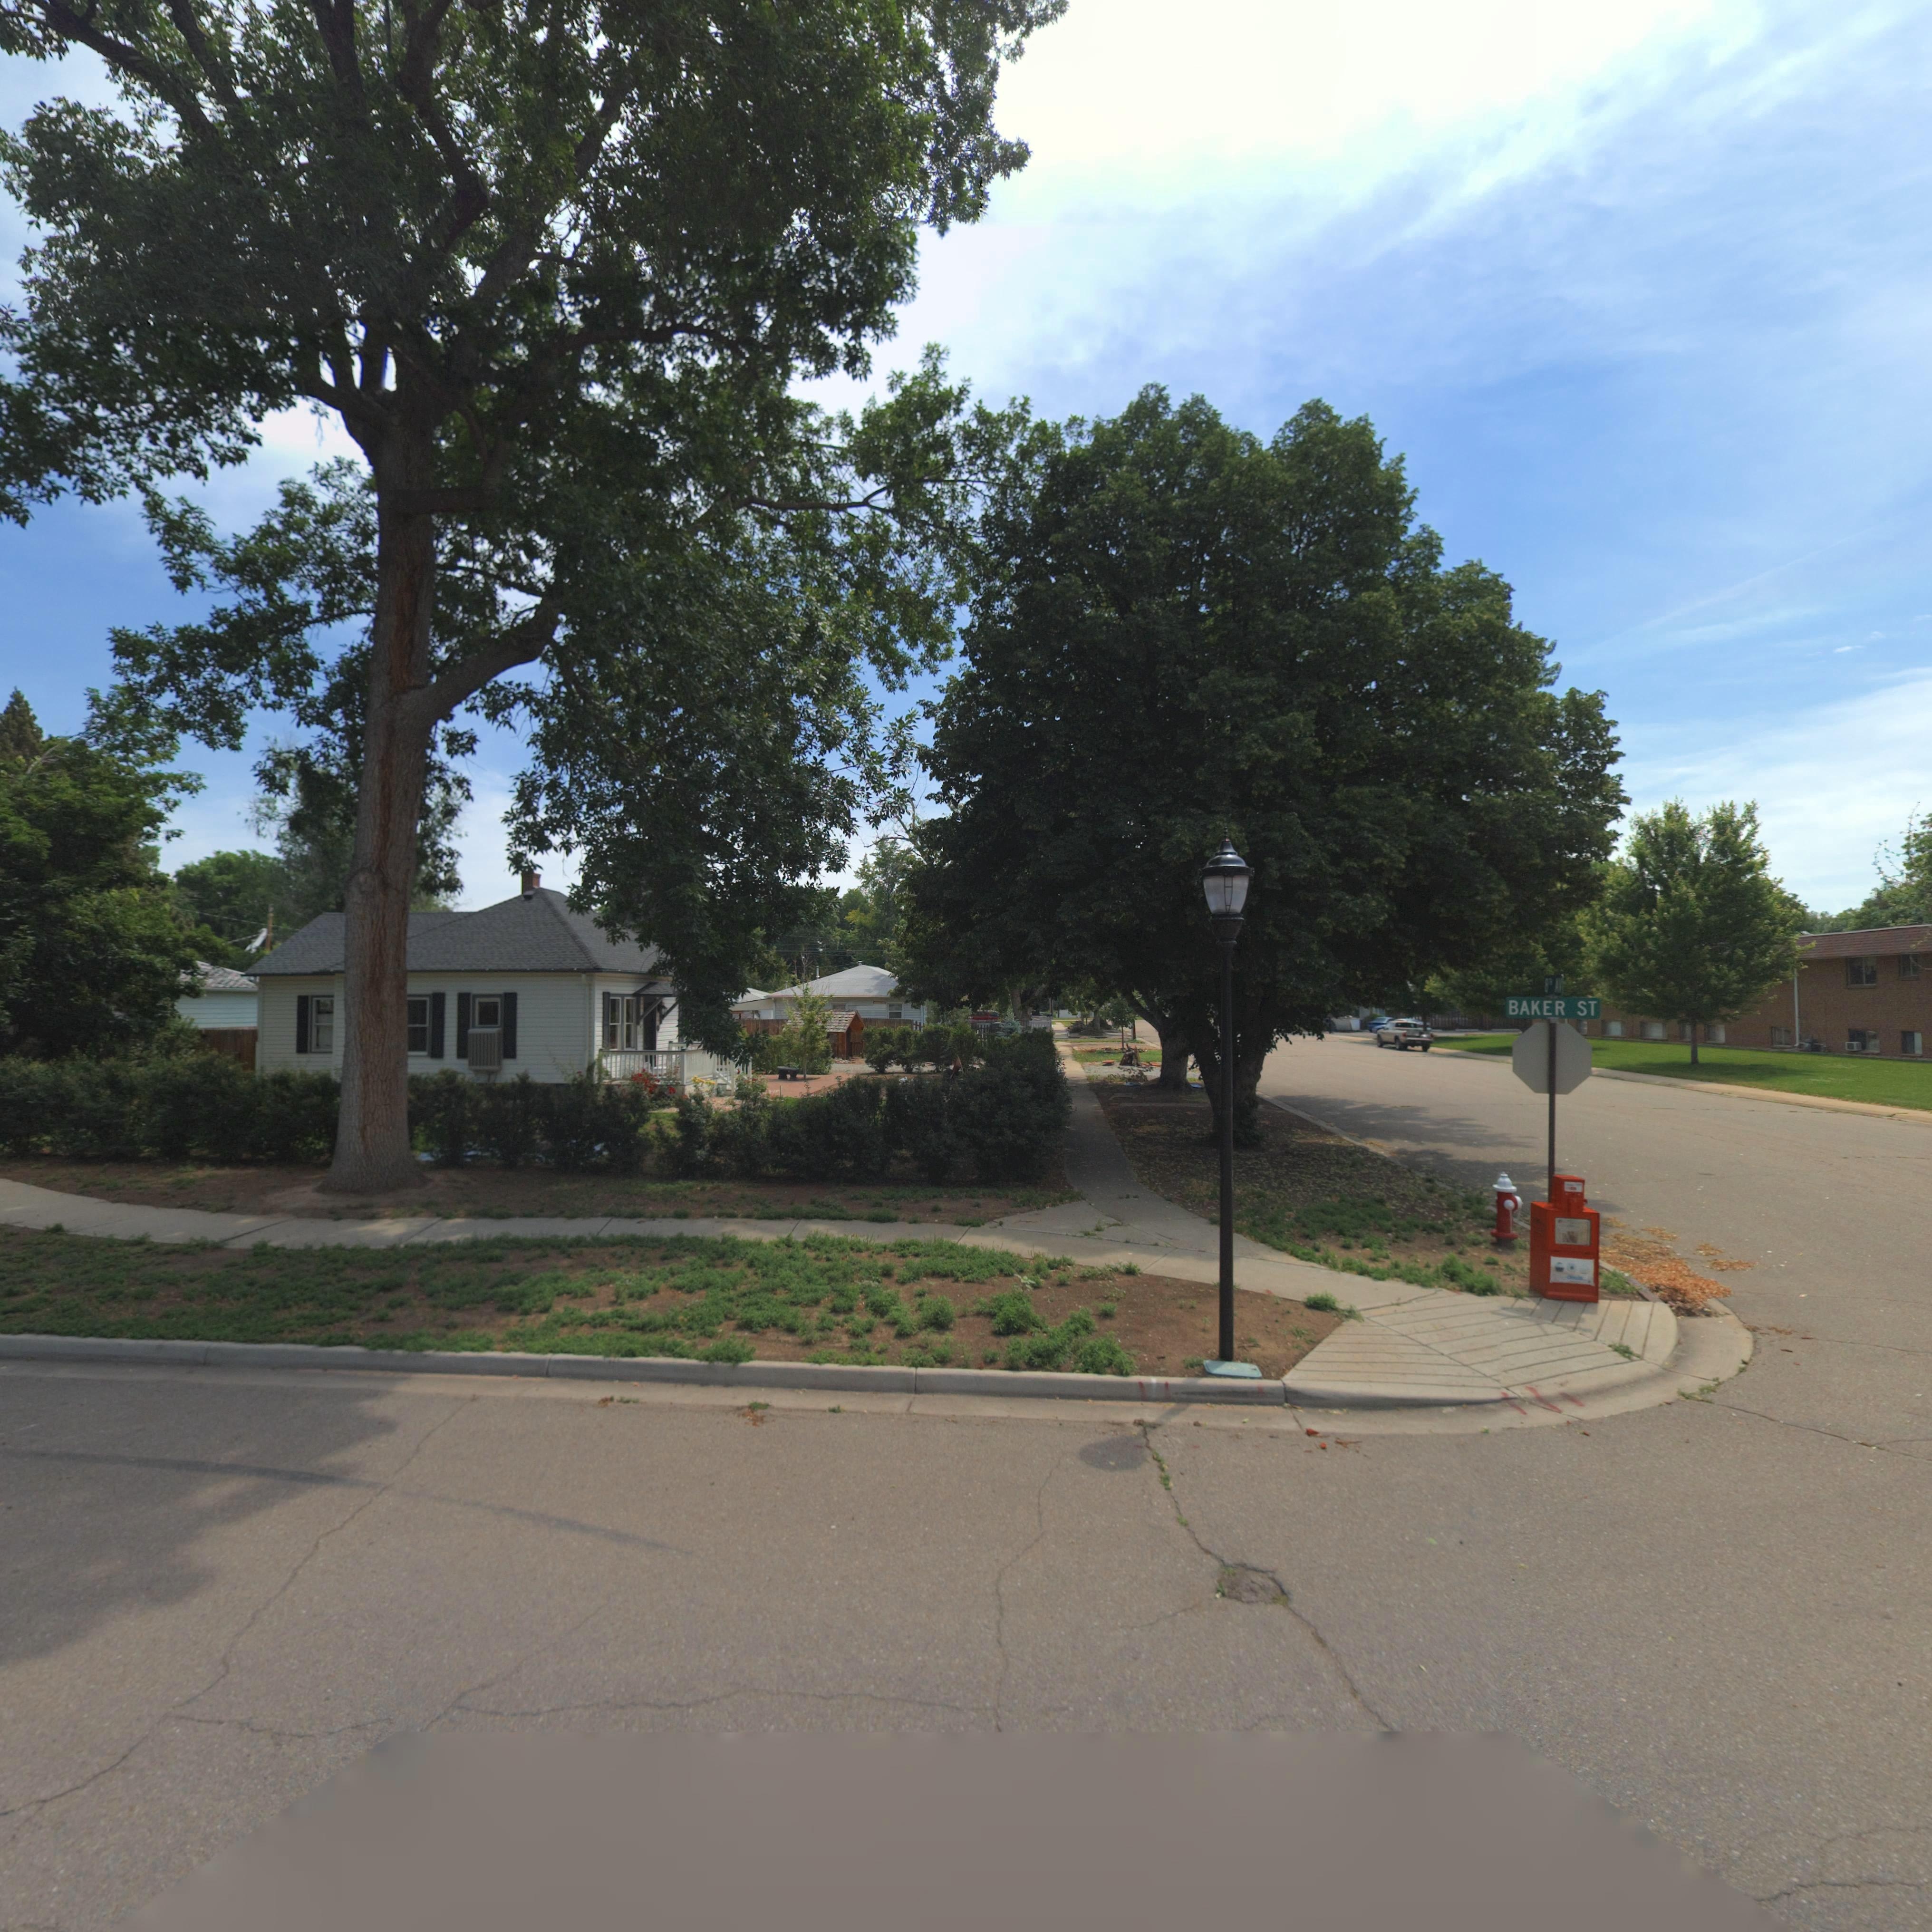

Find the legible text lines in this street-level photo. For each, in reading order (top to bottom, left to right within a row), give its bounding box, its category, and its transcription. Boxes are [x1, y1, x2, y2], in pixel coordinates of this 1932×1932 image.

[1544, 977, 1563, 993] StreetName: 8** AV
[1508, 999, 1597, 1016] StreetName: BAKER ST